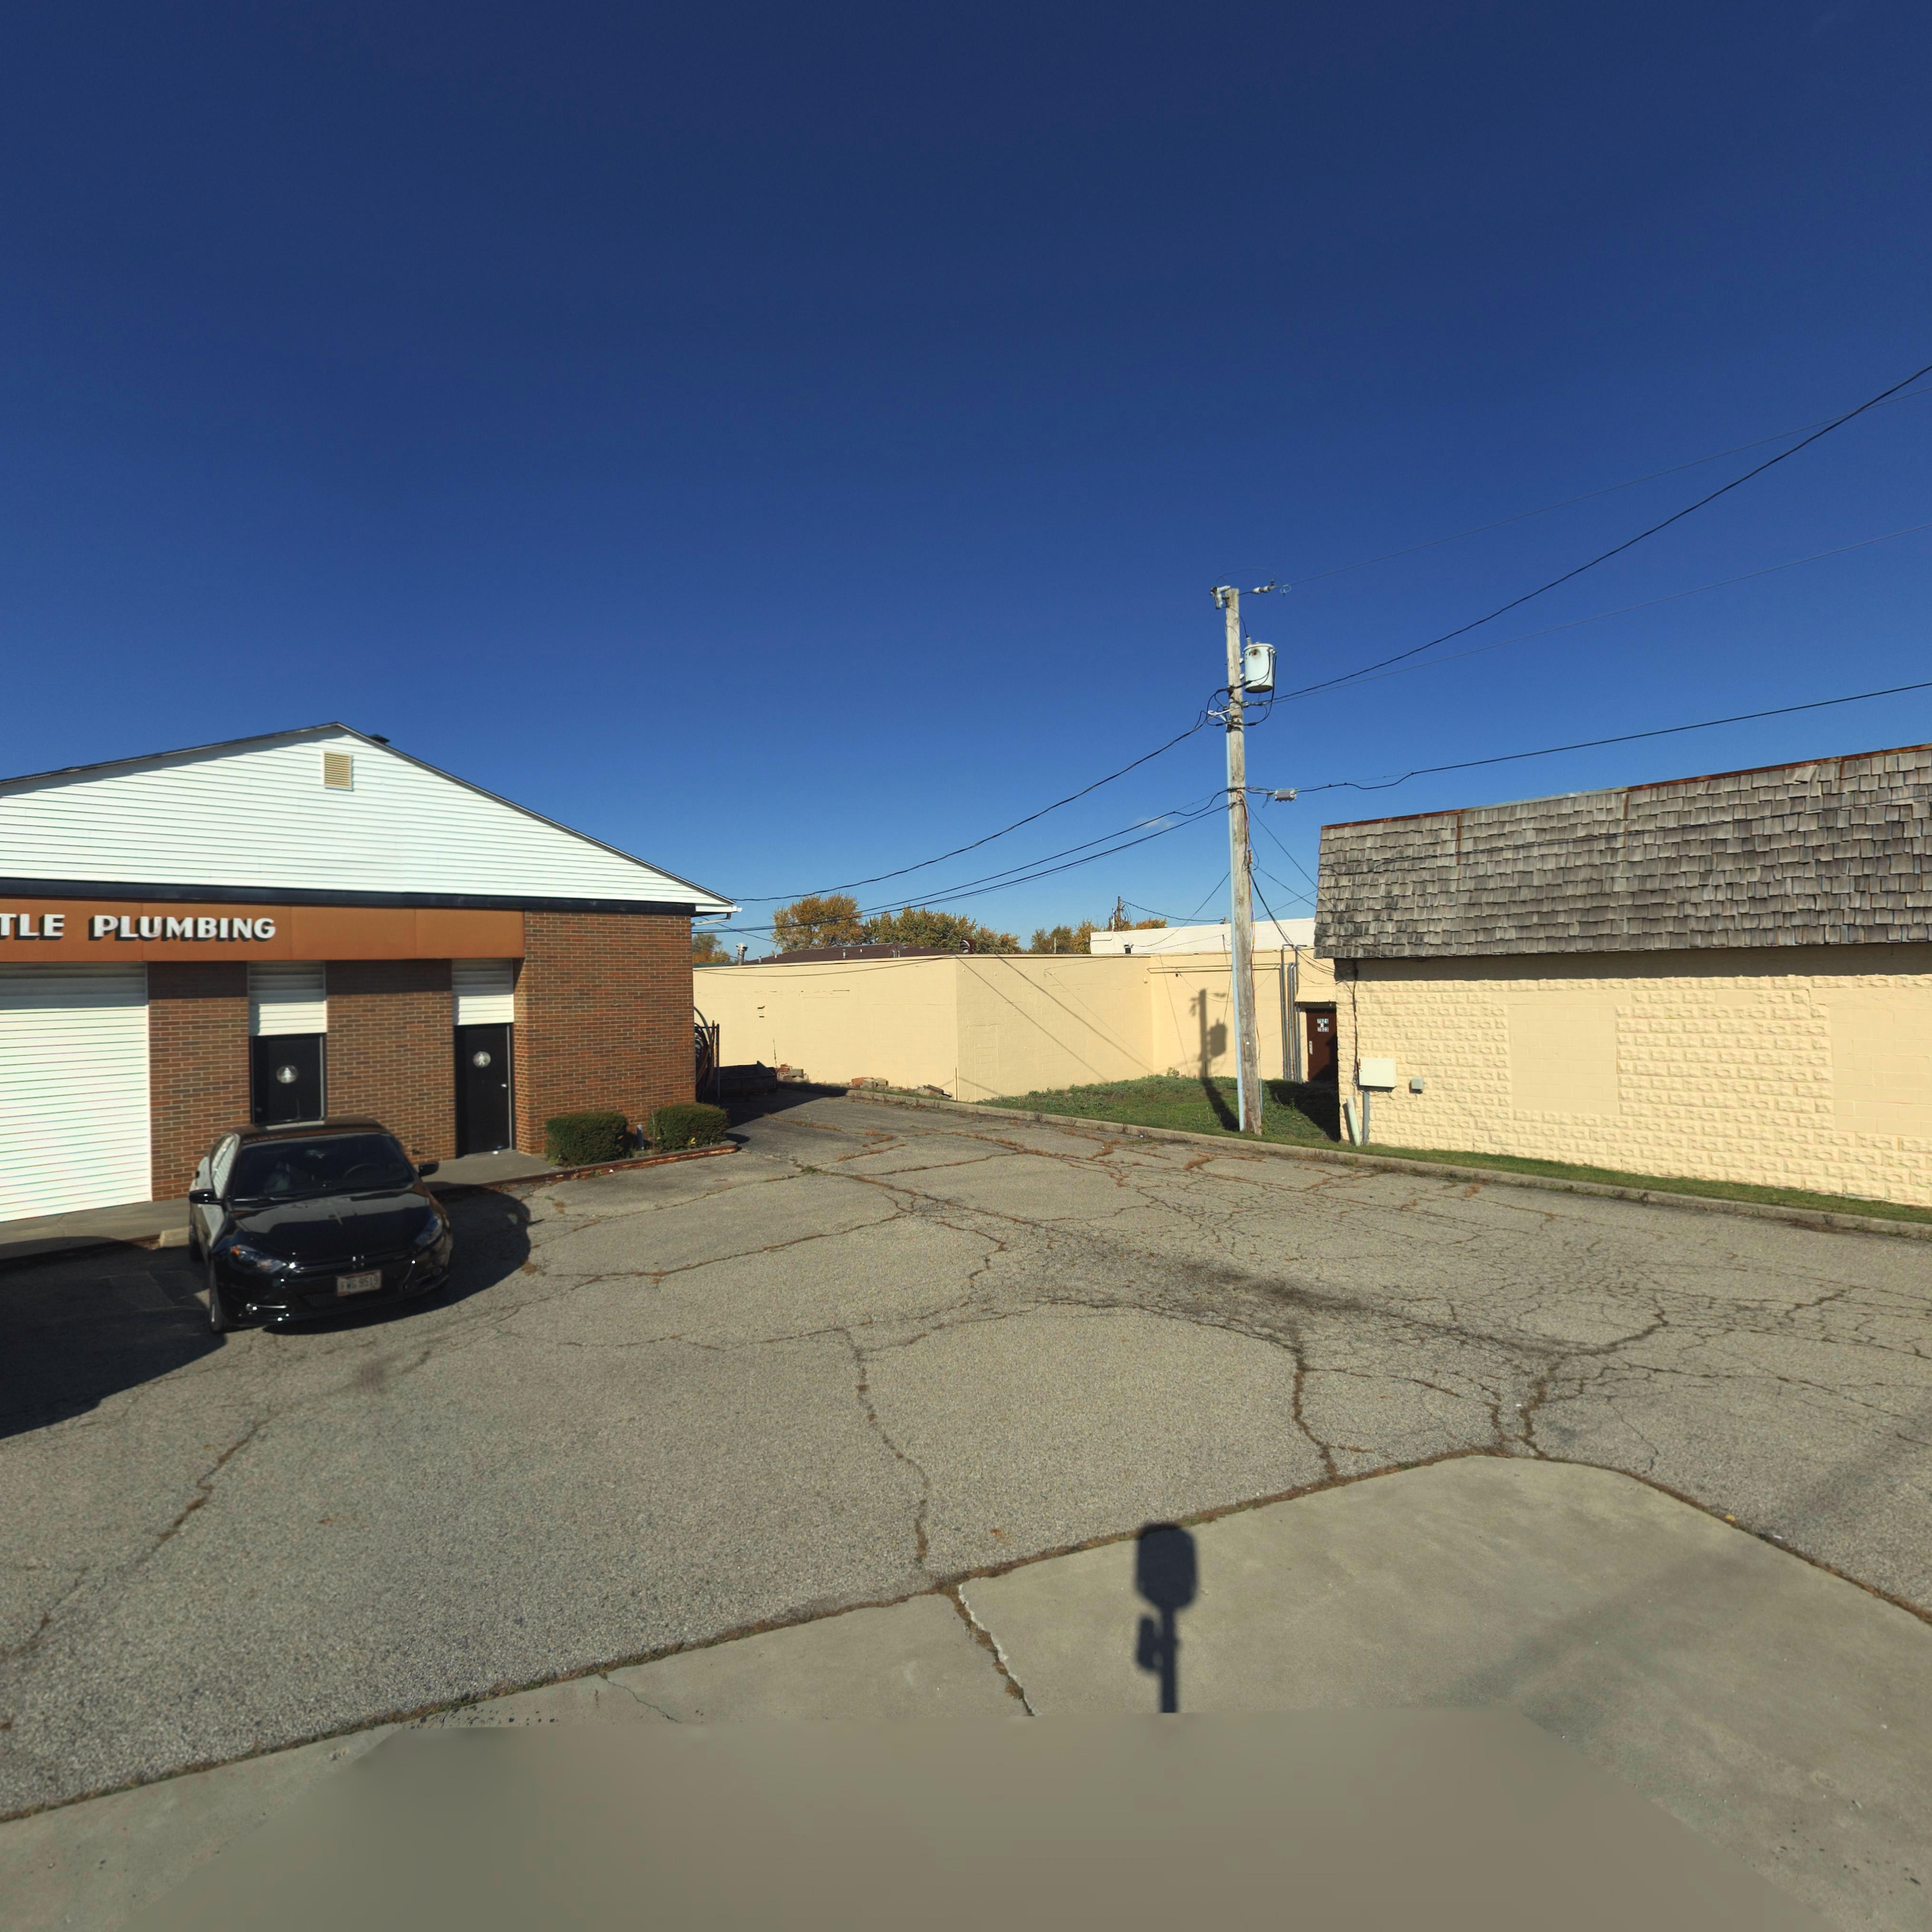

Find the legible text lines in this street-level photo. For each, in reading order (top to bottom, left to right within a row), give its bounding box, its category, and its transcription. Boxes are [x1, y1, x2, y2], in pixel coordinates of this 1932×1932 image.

[18, 912, 277, 940] BusinessName: LE PLUMBING
[1317, 1018, 1329, 1024] StreetNumber: 7523
[1317, 1026, 1328, 1032] StreetNumber: 7*23